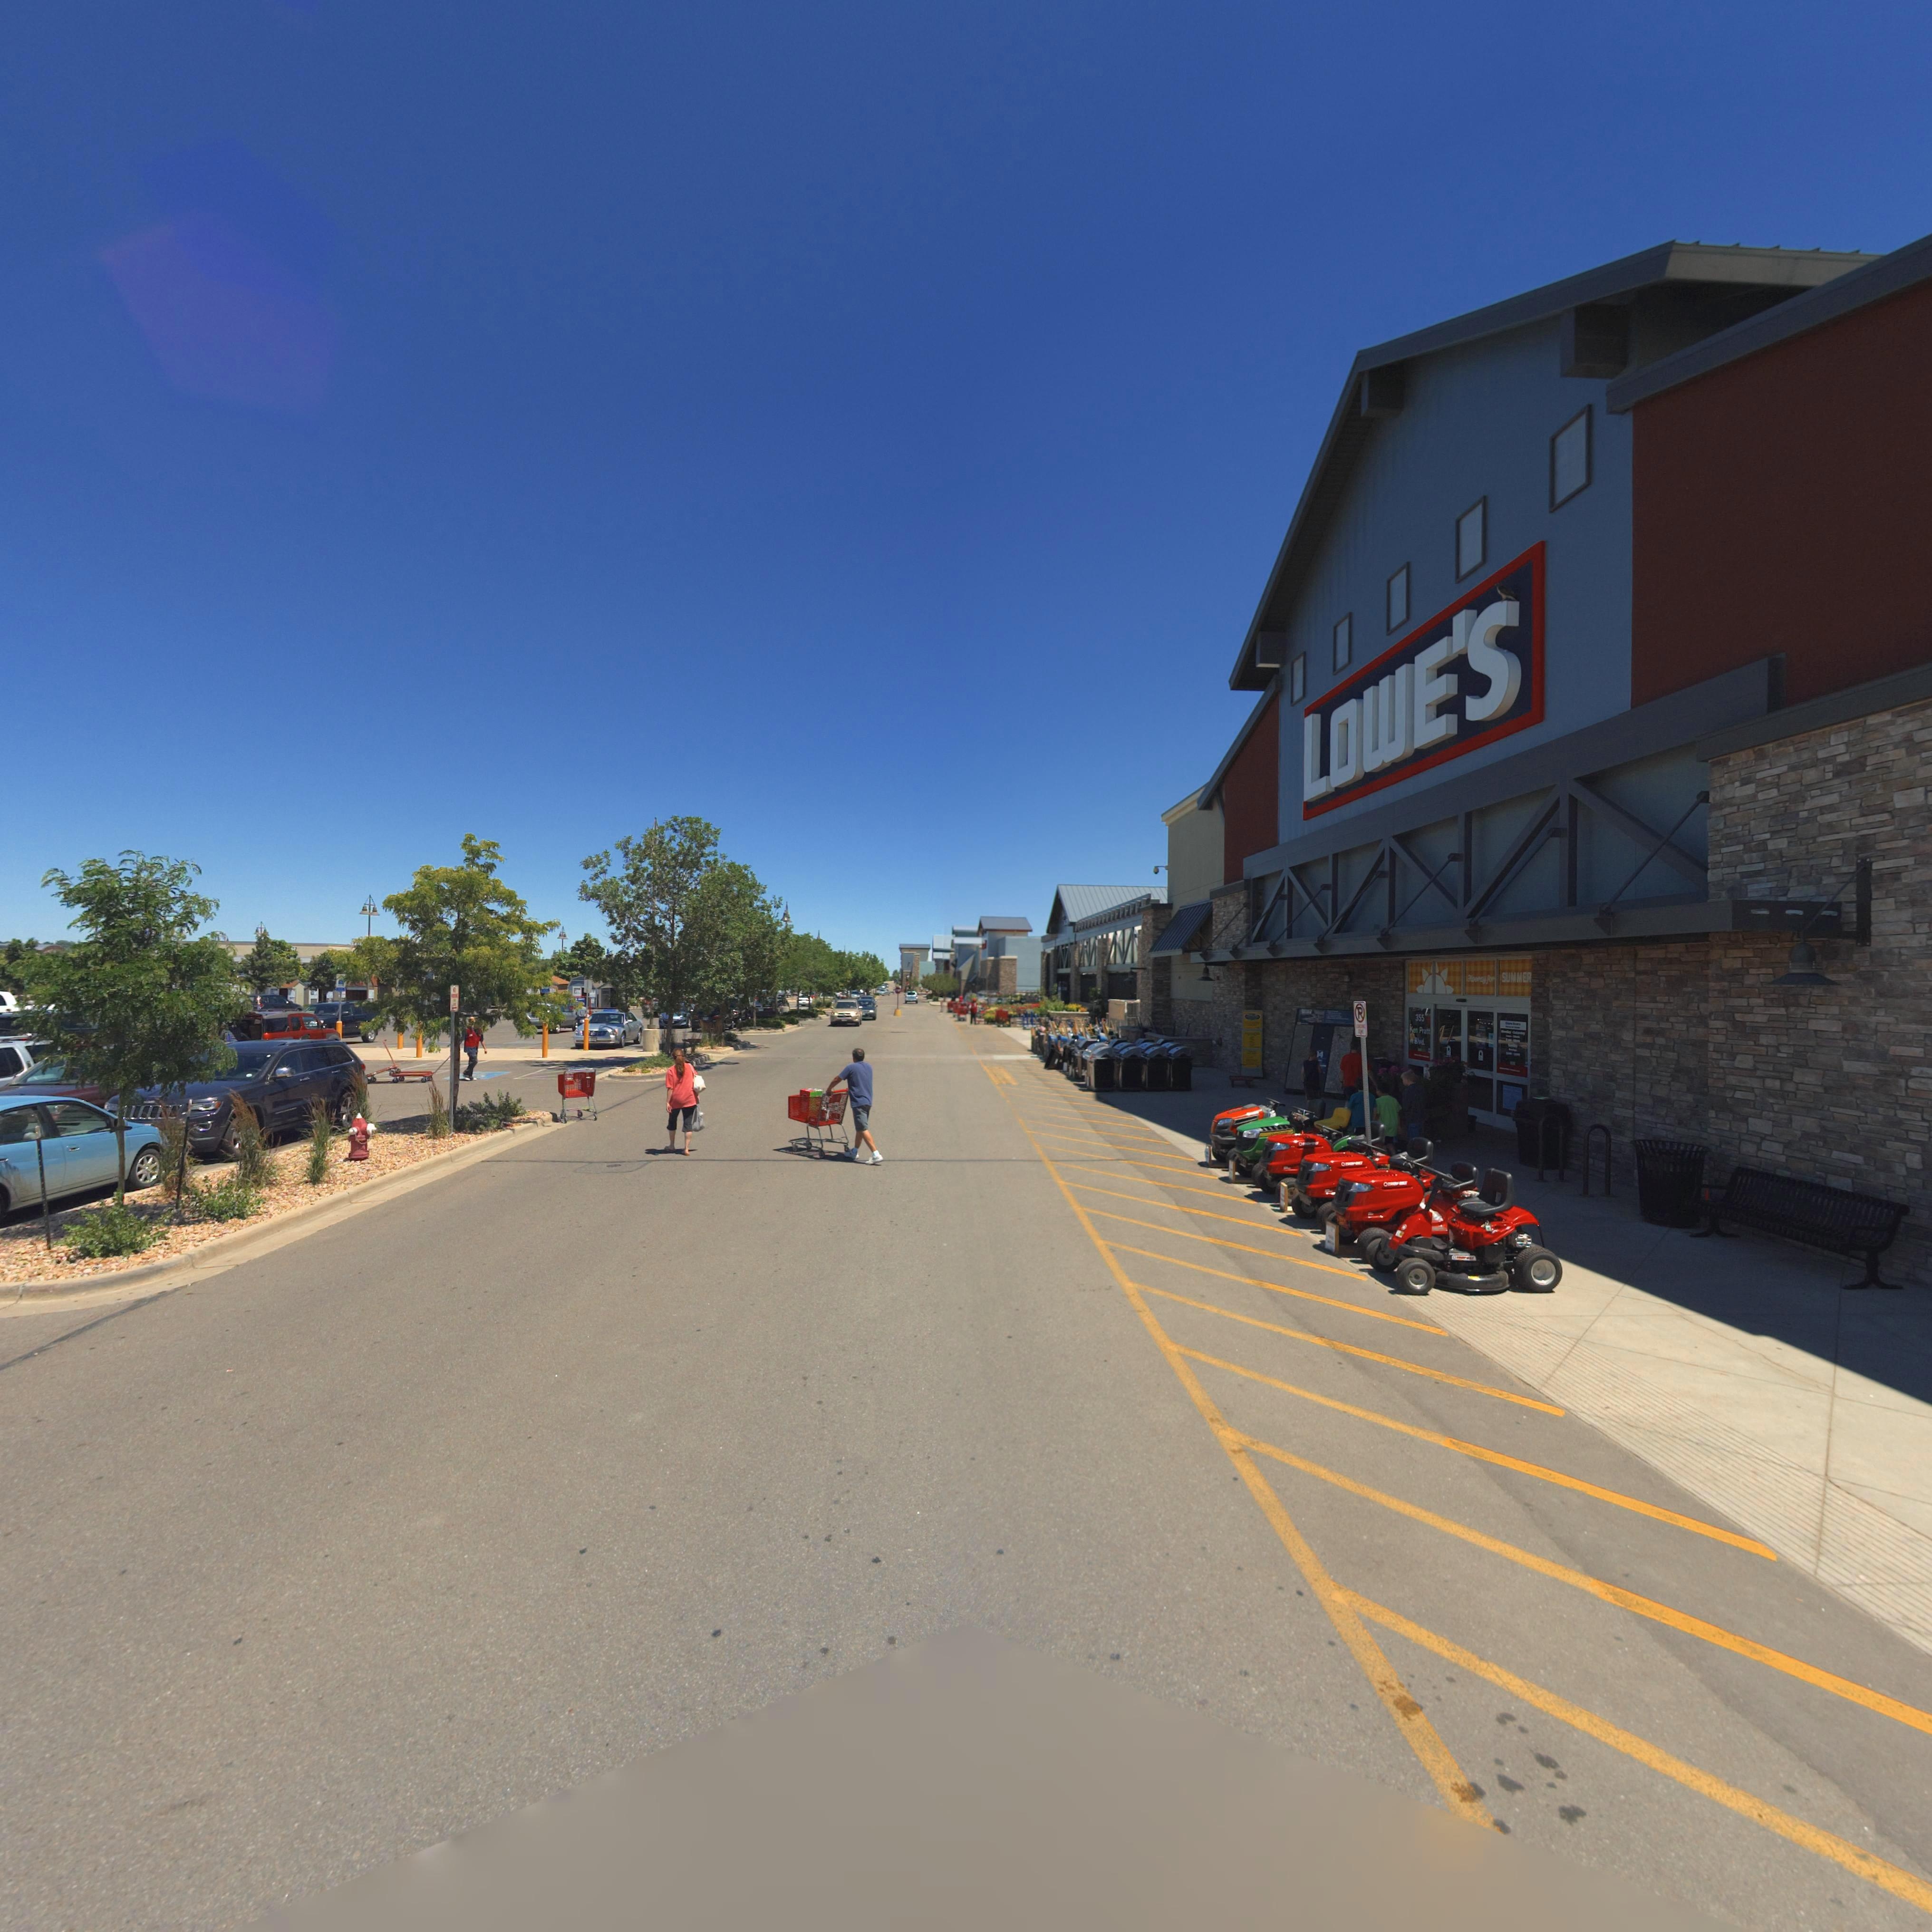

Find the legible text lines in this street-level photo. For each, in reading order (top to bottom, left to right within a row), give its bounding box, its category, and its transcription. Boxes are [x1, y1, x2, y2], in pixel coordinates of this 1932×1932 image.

[1302, 597, 1526, 804] BusinessName: LOWE'S
[1415, 1013, 1424, 1022] StreetNumber: 355
[1409, 1024, 1431, 1035] StreetName: Ken Pratt
[1414, 1036, 1425, 1045] StreetName: Blvd